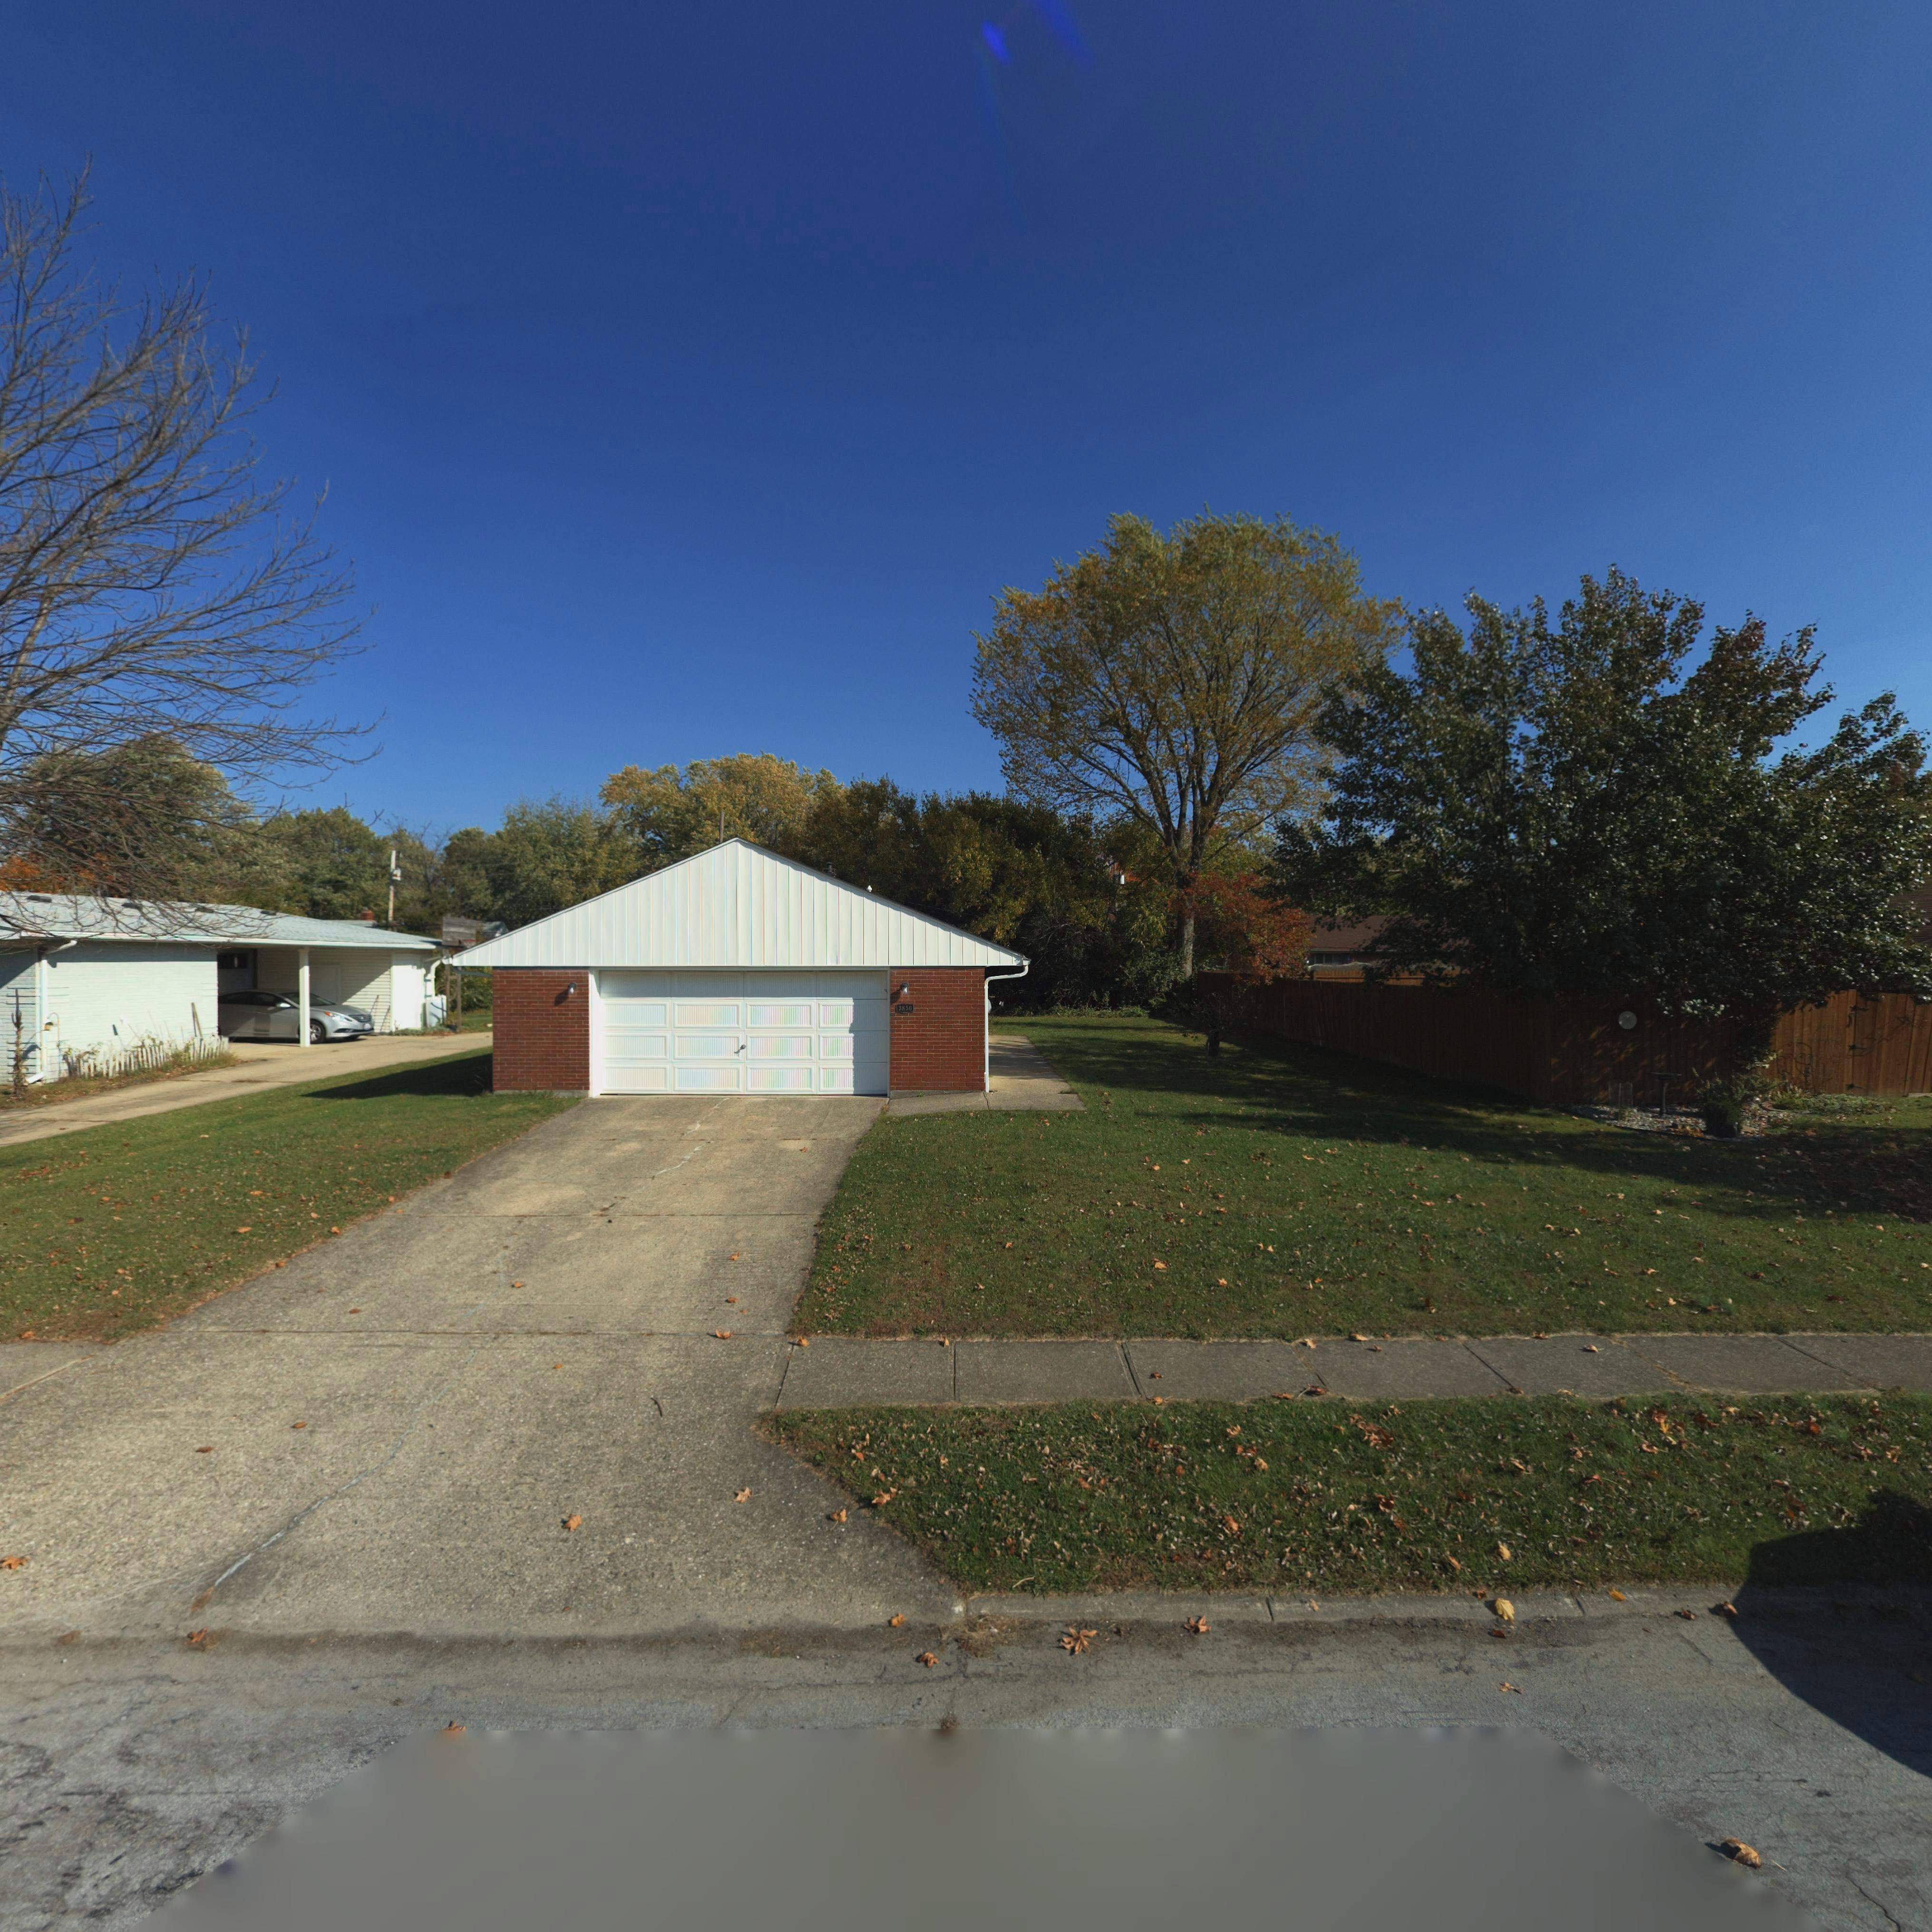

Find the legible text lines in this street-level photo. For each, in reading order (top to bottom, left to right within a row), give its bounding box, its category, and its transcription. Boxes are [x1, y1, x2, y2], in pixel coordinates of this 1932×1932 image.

[898, 1005, 913, 1011] StreetNumber: 3856